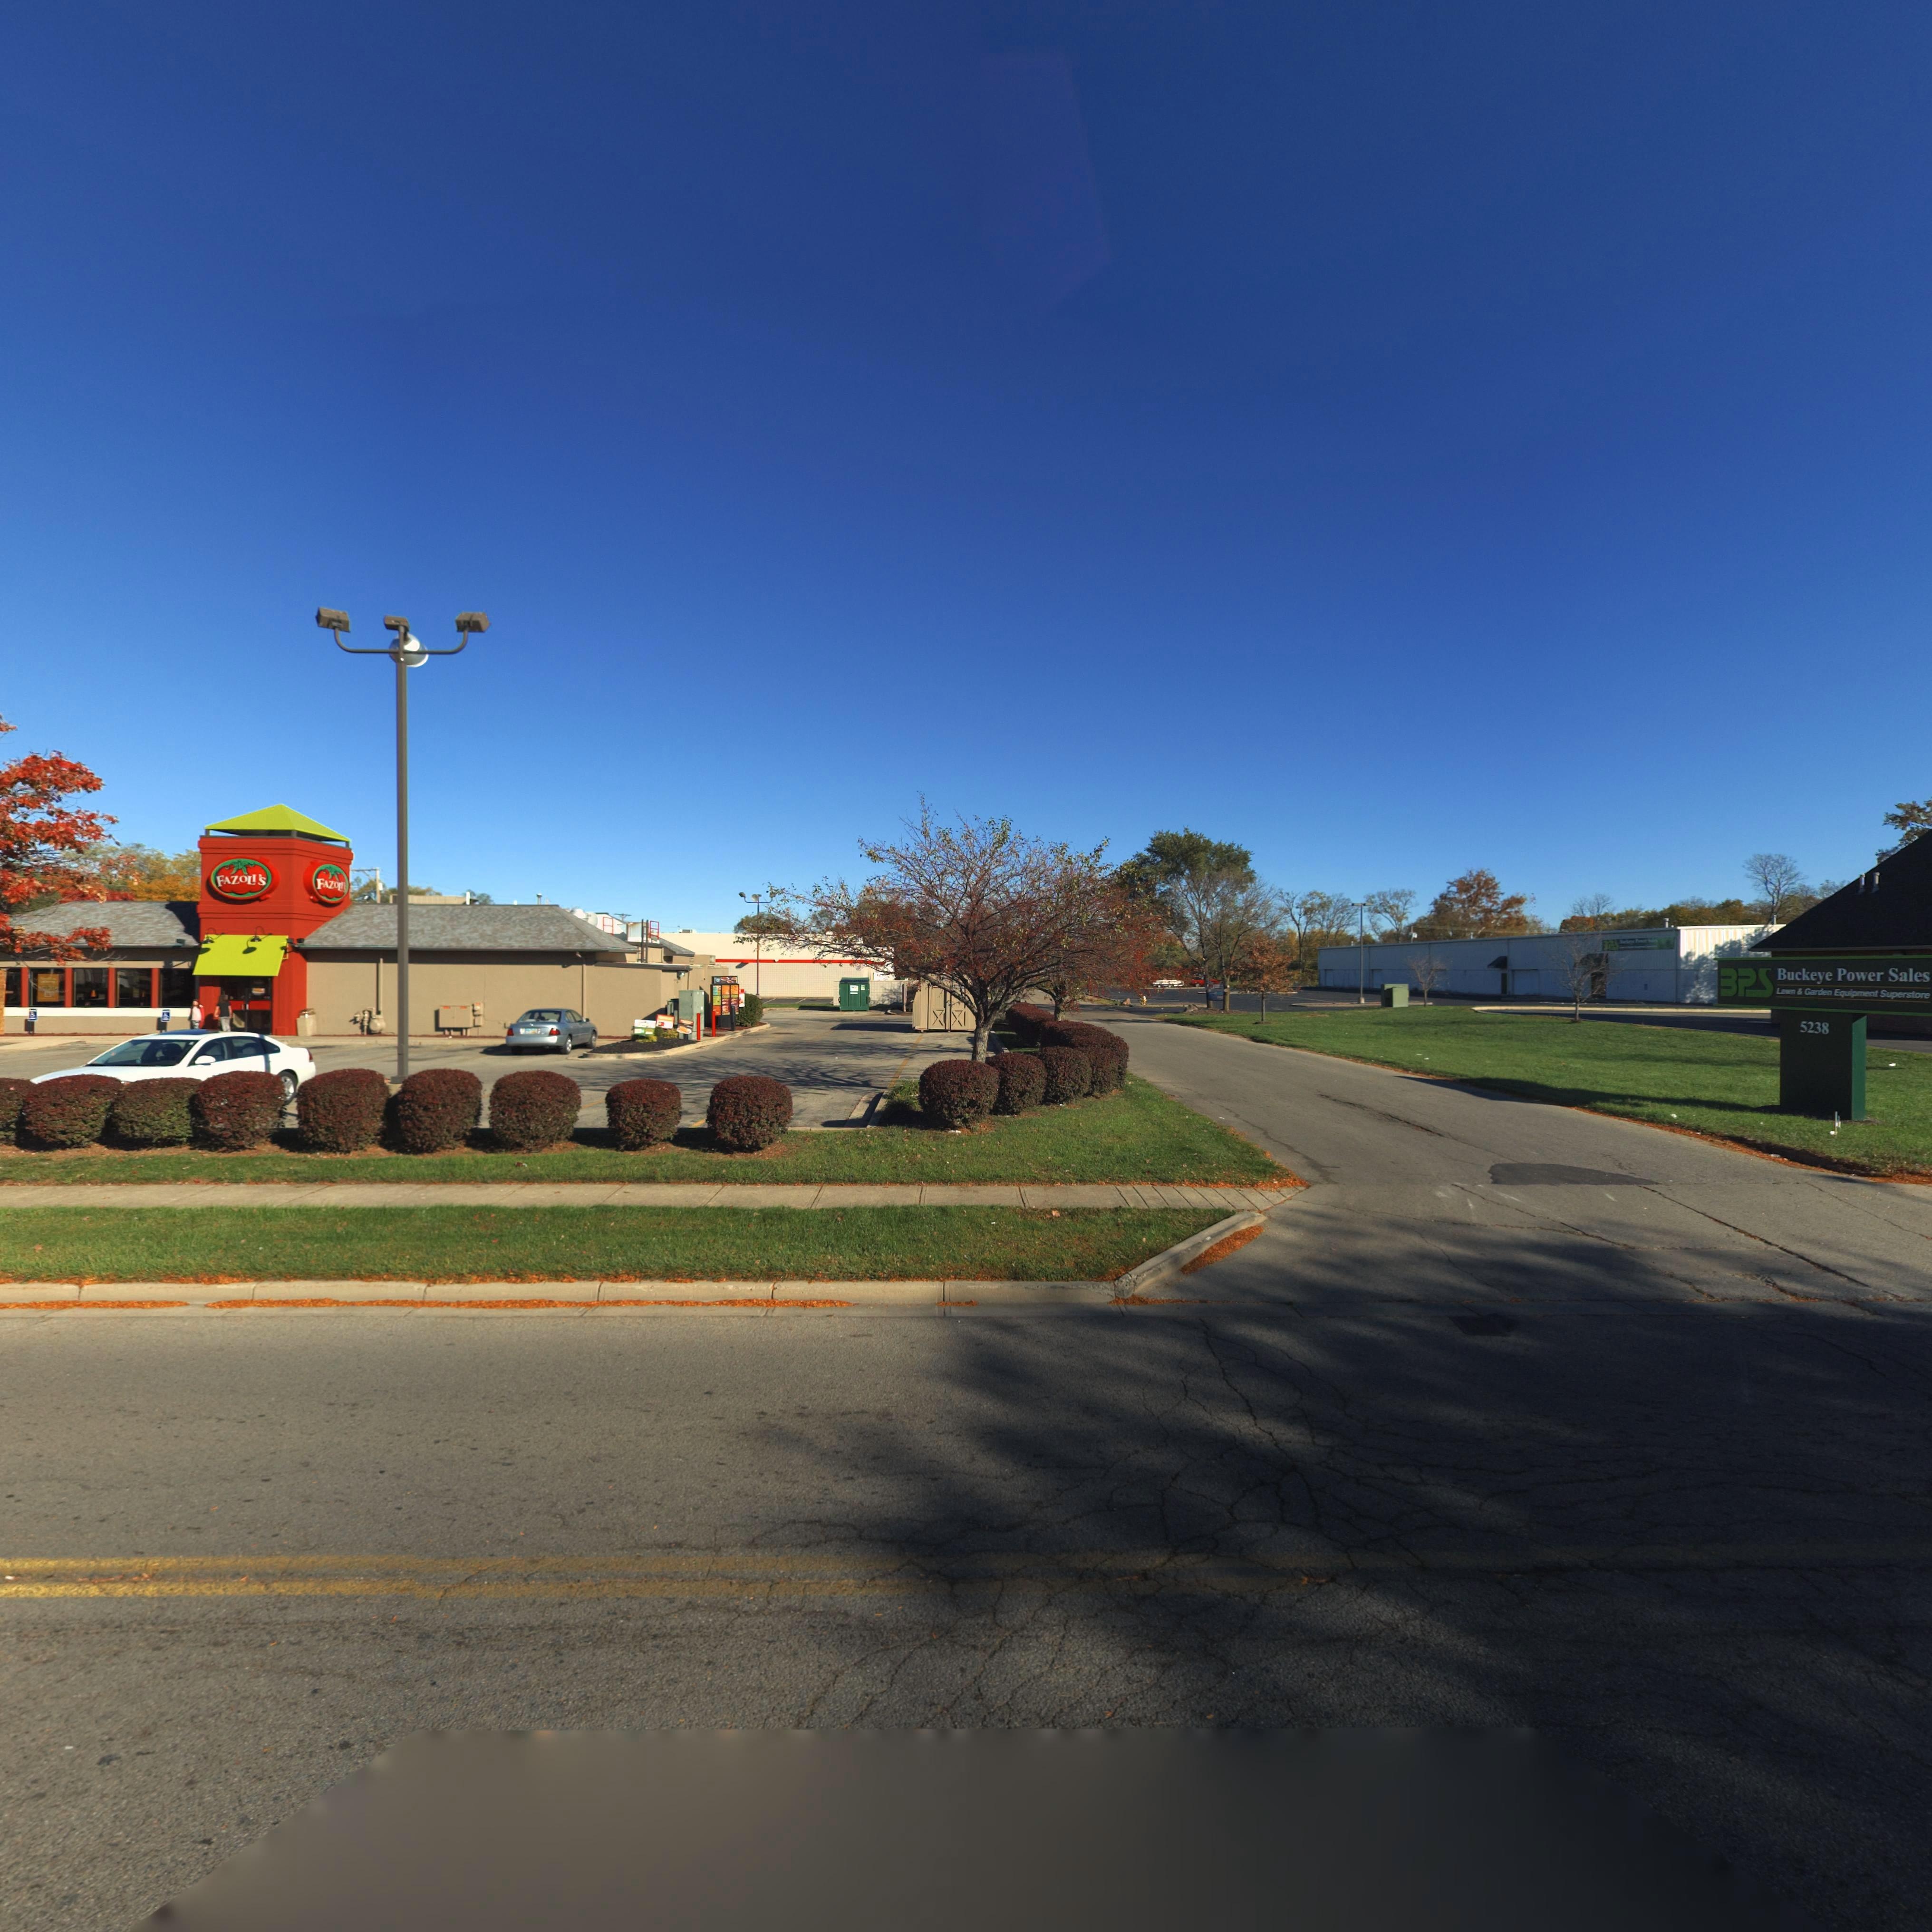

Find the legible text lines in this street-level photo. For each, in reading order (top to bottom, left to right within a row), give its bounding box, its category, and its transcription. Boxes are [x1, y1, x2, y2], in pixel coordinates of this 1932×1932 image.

[1798, 1020, 1830, 1036] StreetNumber: 5238